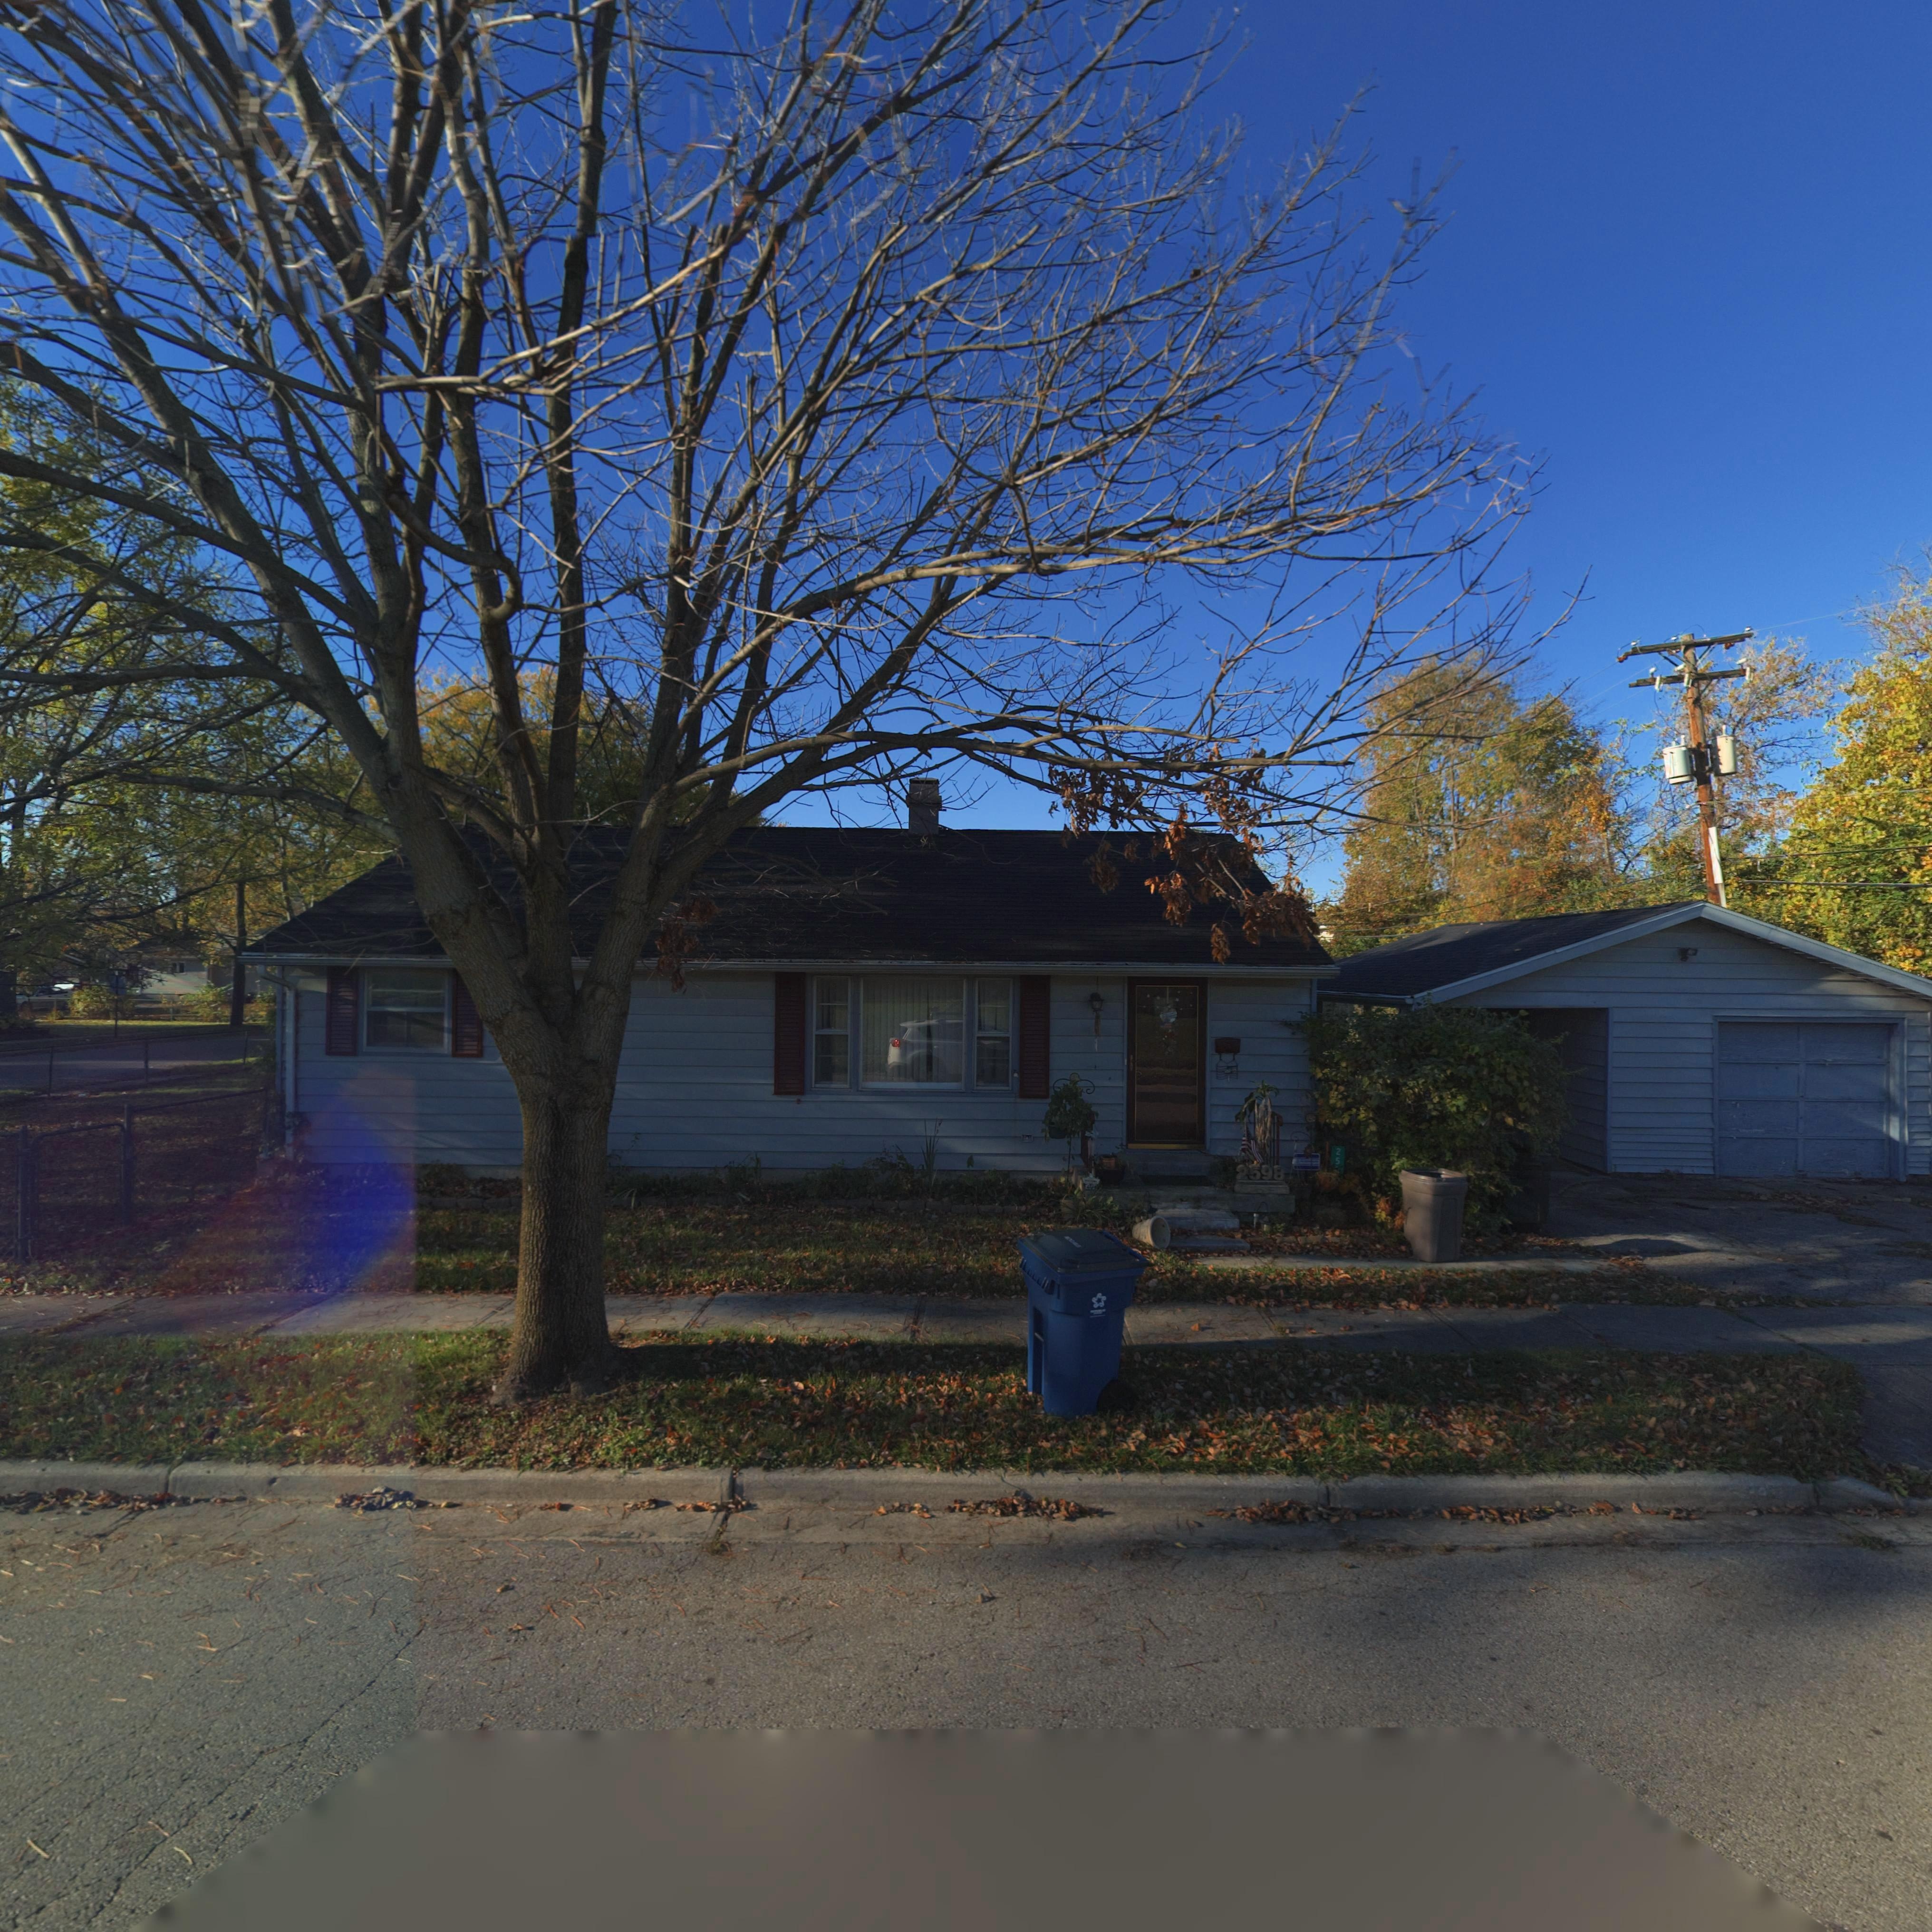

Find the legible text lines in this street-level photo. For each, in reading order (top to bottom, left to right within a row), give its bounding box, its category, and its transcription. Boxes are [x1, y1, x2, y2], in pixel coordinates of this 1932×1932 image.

[1334, 1147, 1342, 1165] StreetNumber: 25
[1236, 1165, 1285, 1180] StreetNumber: 2598